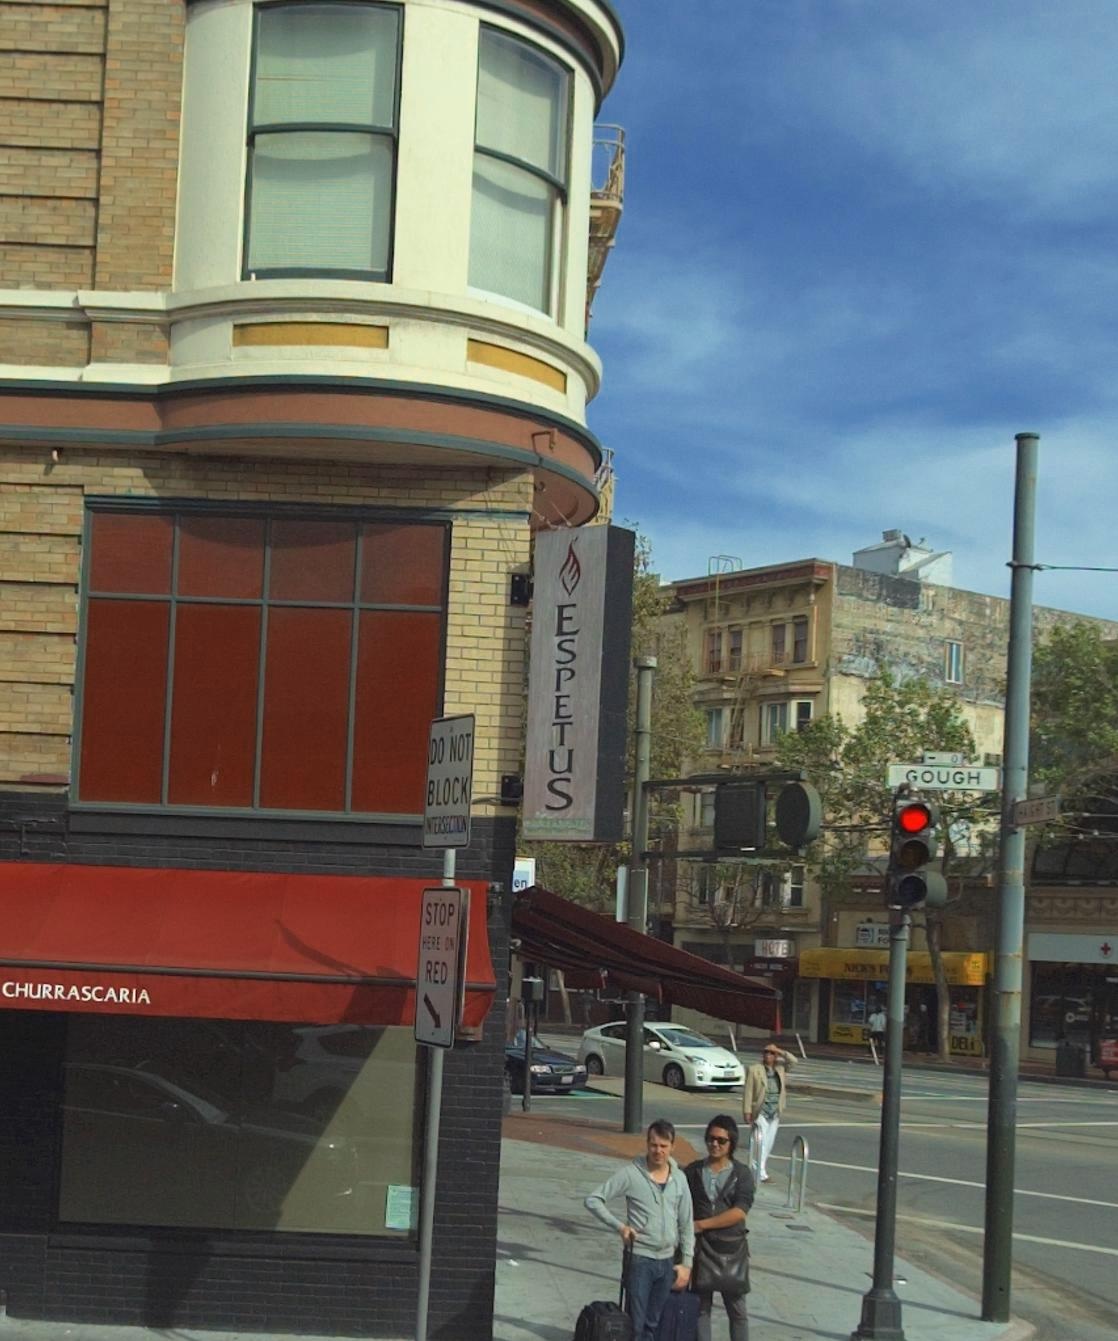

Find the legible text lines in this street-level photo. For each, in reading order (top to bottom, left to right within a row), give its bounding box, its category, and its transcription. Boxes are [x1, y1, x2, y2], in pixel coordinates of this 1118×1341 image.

[540, 600, 583, 815] BusinessName: ESPETUS
[427, 729, 474, 769] None: DO NOT
[925, 752, 961, 766] StreetNumberRange: <-**0
[903, 766, 983, 788] StreetName: *OUGH
[425, 773, 471, 809] None: BLOCK
[1044, 797, 1058, 819] StreetName: ST
[512, 876, 529, 892] BusinessName: en
[422, 899, 458, 929] None: STOP
[420, 932, 458, 954] None: HERE ON
[758, 938, 790, 957] BusinessName: HOTE
[422, 957, 450, 988] None: RED
[842, 960, 879, 975] BusinessName: NICK'S
[0, 978, 155, 1007] BusinessName: CHURRASCARIA
[949, 1033, 978, 1053] None: DE*I